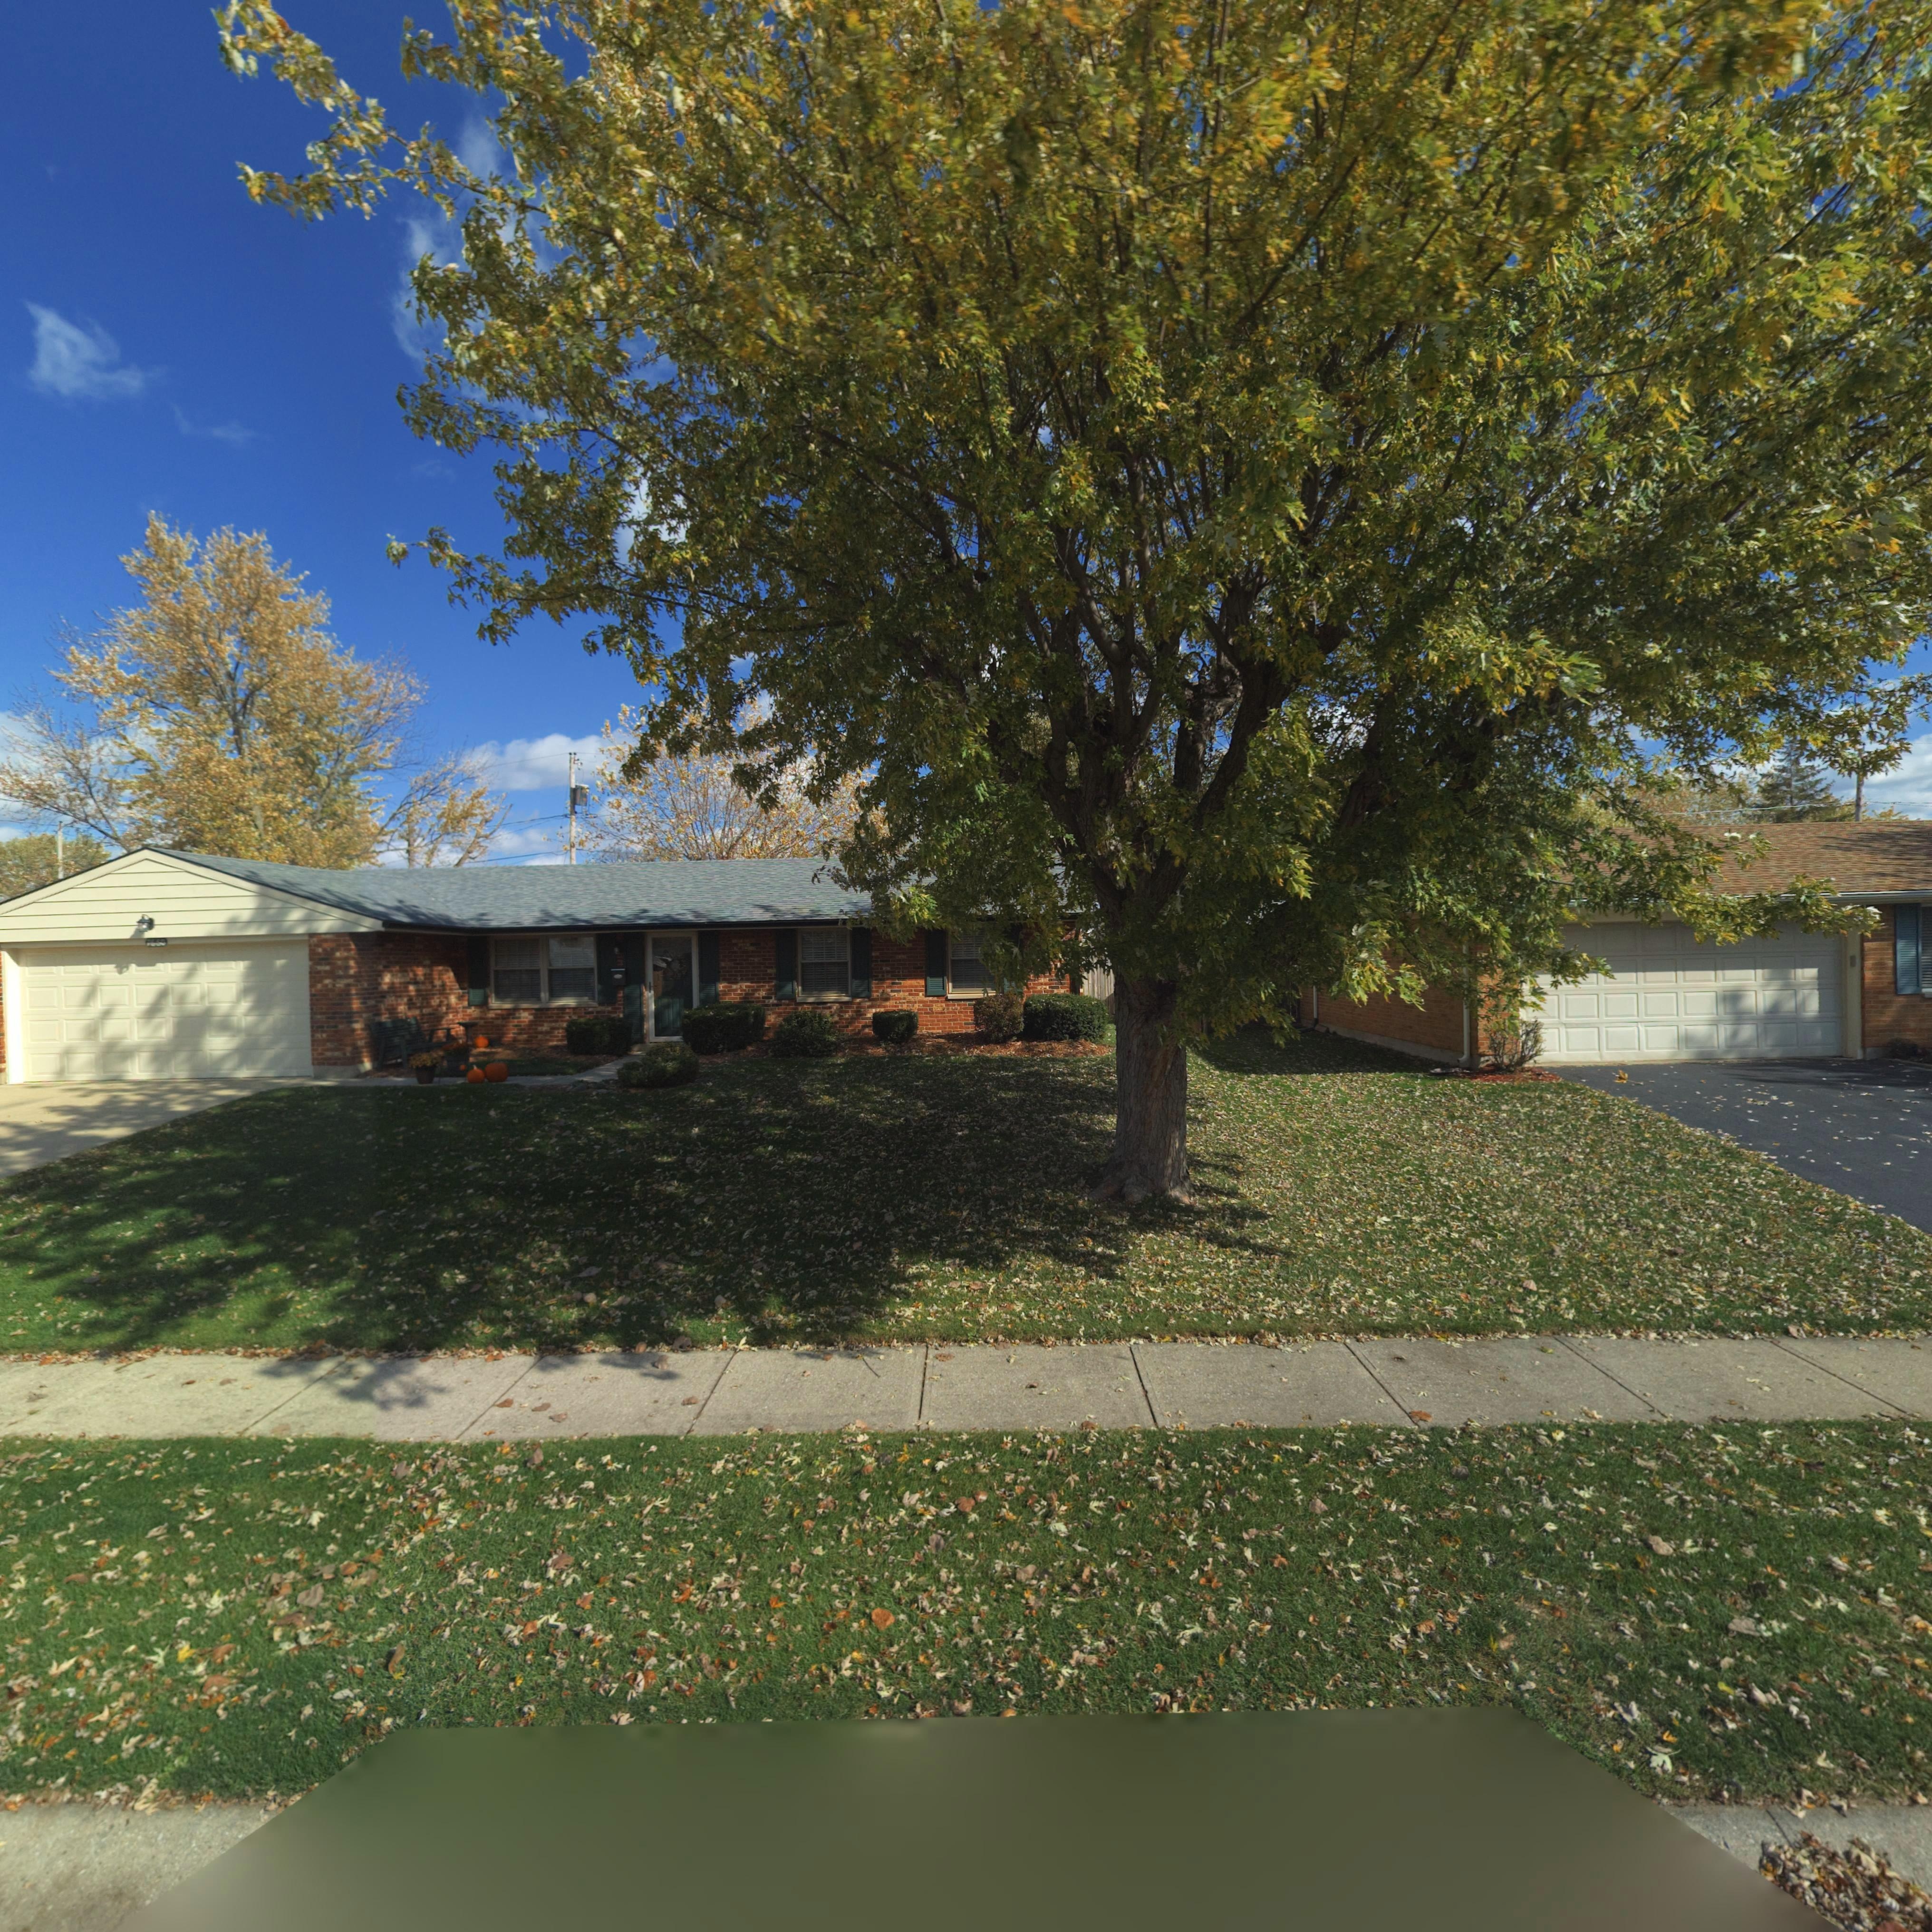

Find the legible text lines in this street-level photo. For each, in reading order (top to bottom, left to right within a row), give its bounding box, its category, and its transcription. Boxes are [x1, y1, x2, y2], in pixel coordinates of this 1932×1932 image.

[145, 937, 167, 949] StreetNumber: 76**